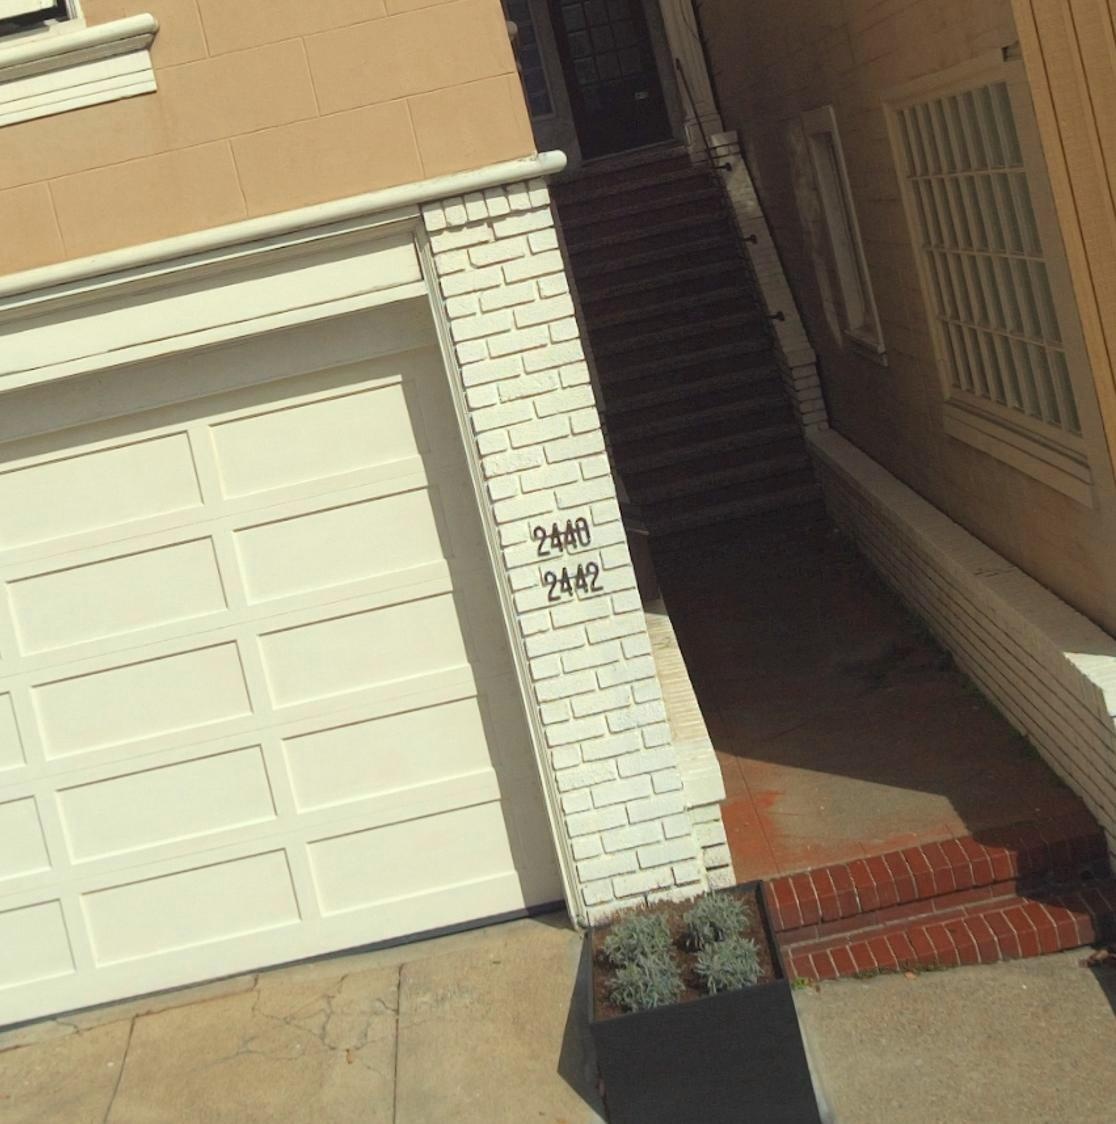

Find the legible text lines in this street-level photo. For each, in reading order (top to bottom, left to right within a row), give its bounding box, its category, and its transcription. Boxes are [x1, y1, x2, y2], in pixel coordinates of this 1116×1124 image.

[531, 514, 594, 560] StreetNumber: 2440
[540, 556, 607, 605] StreetNumber: 2442